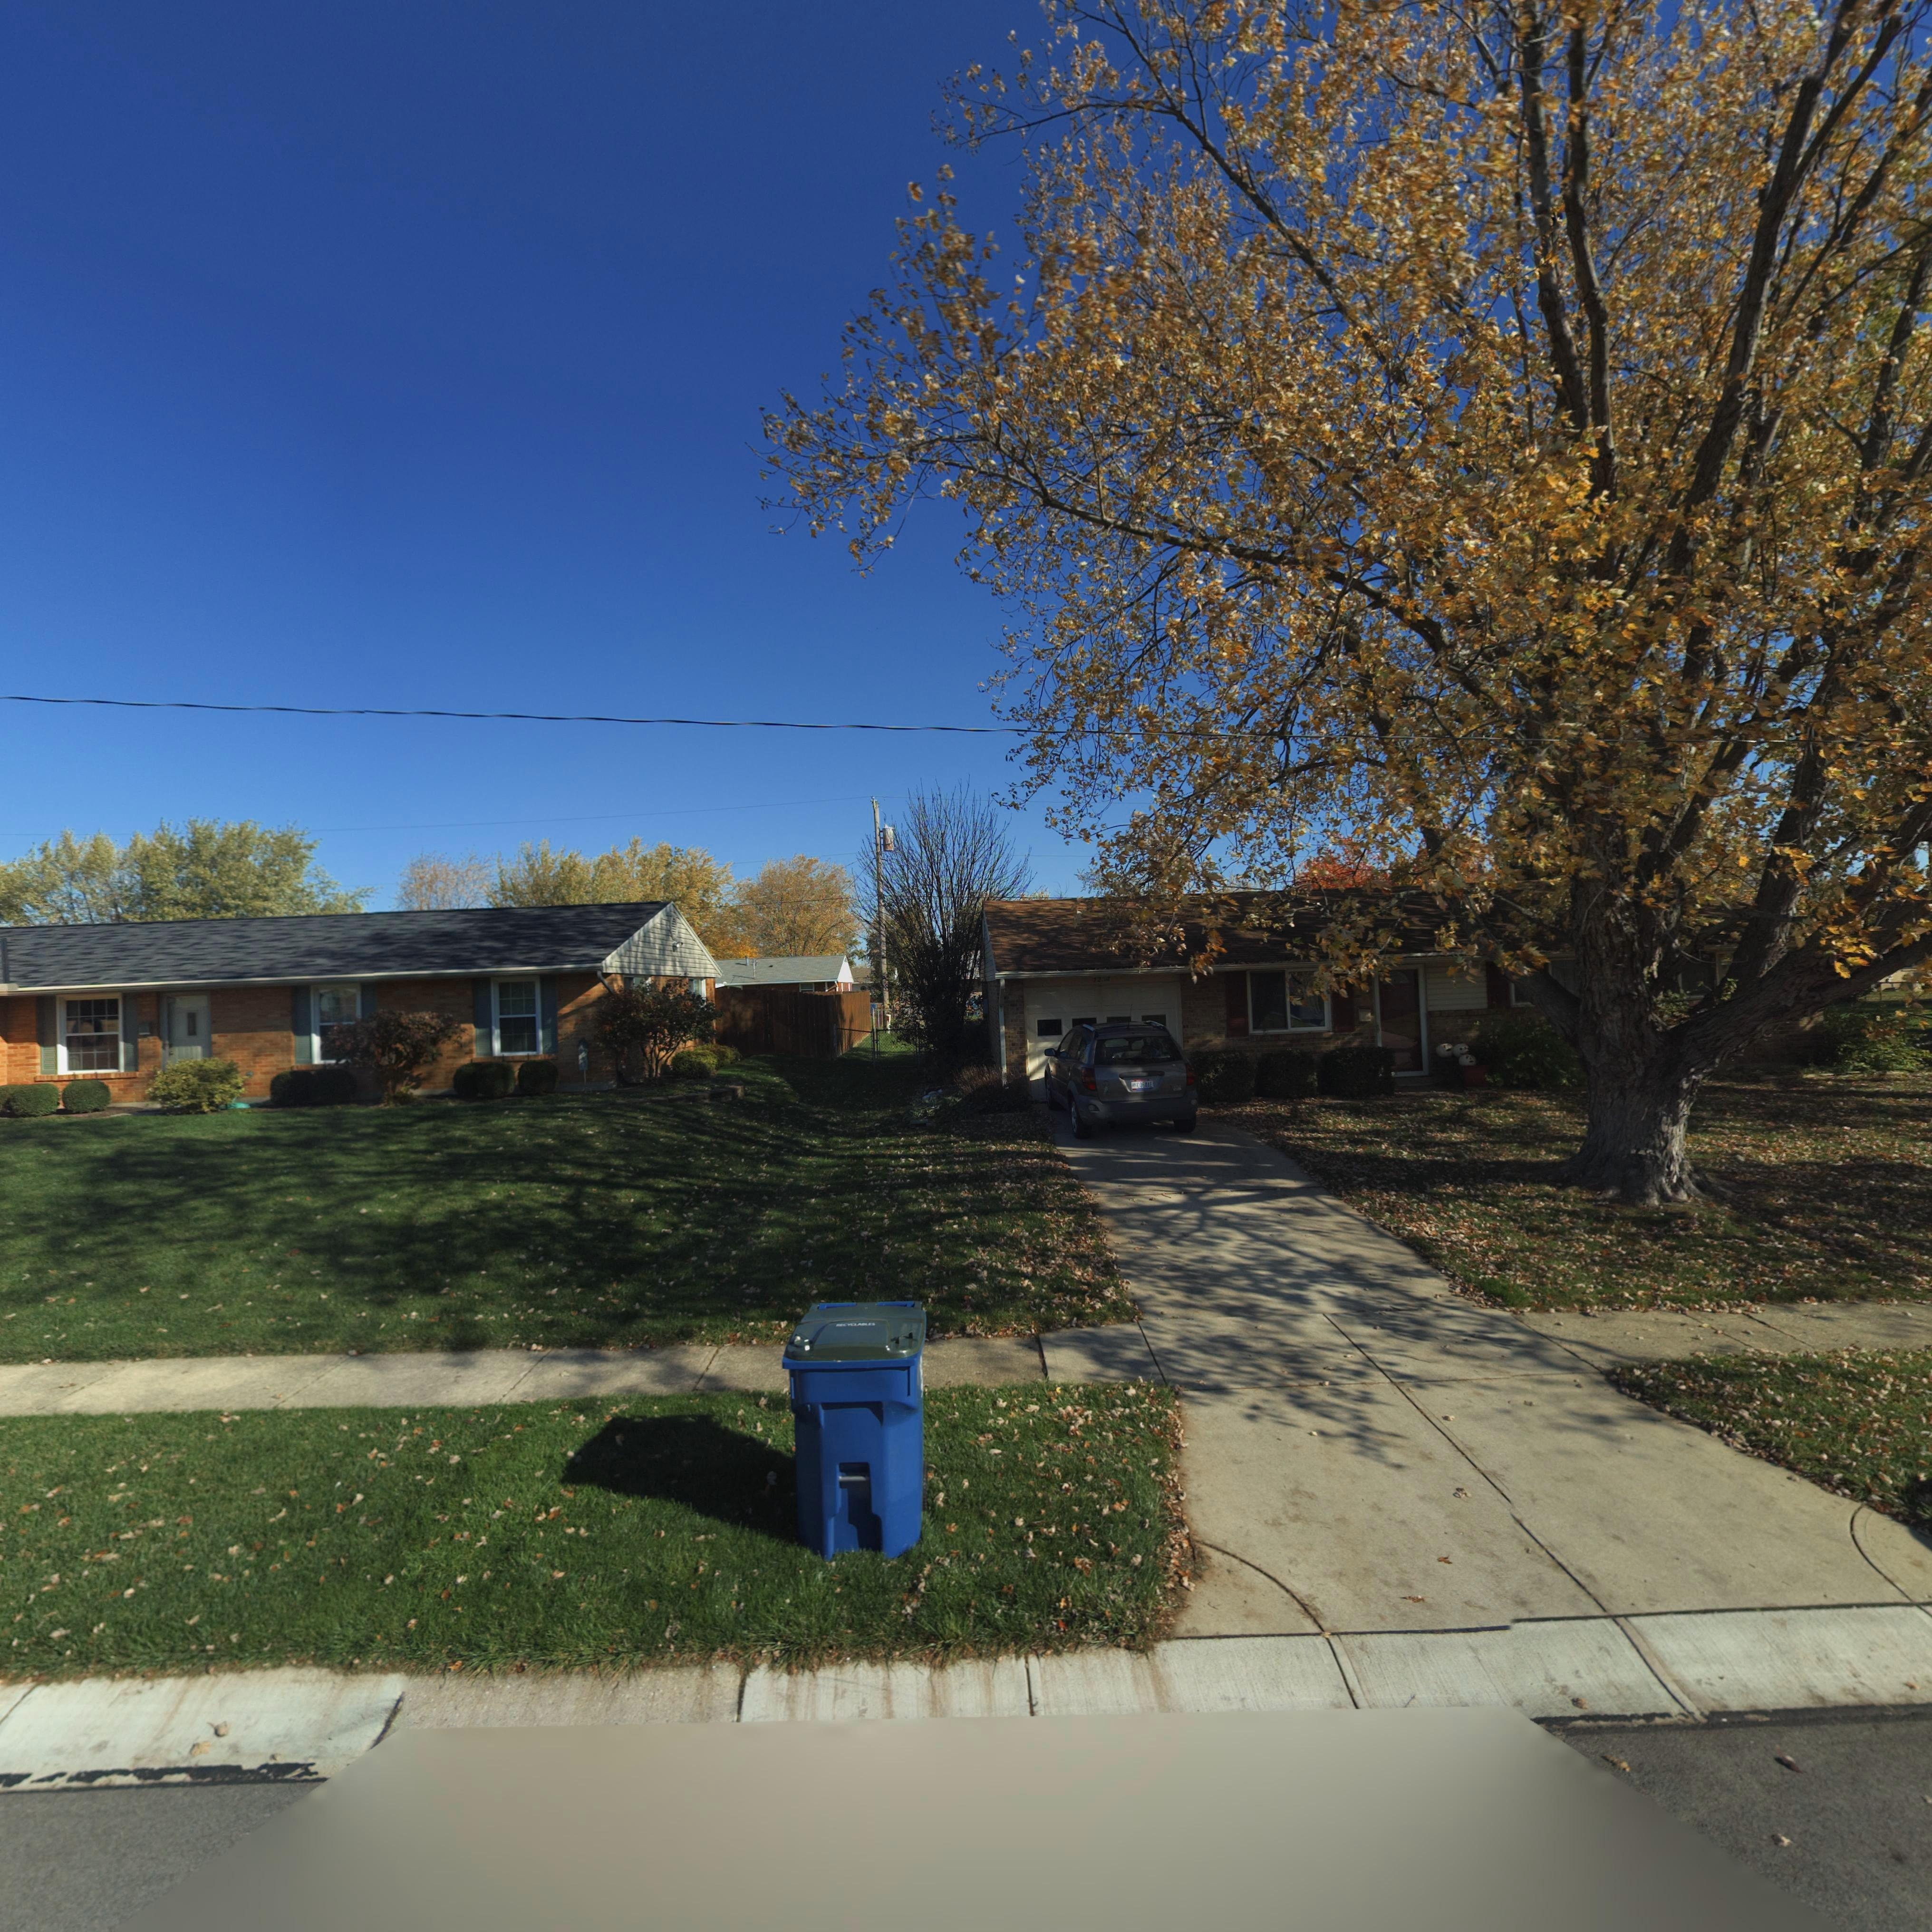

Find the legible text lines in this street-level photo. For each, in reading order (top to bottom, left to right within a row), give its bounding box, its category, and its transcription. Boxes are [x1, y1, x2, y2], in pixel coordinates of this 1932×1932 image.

[1092, 976, 1102, 984] StreetNumber: 72